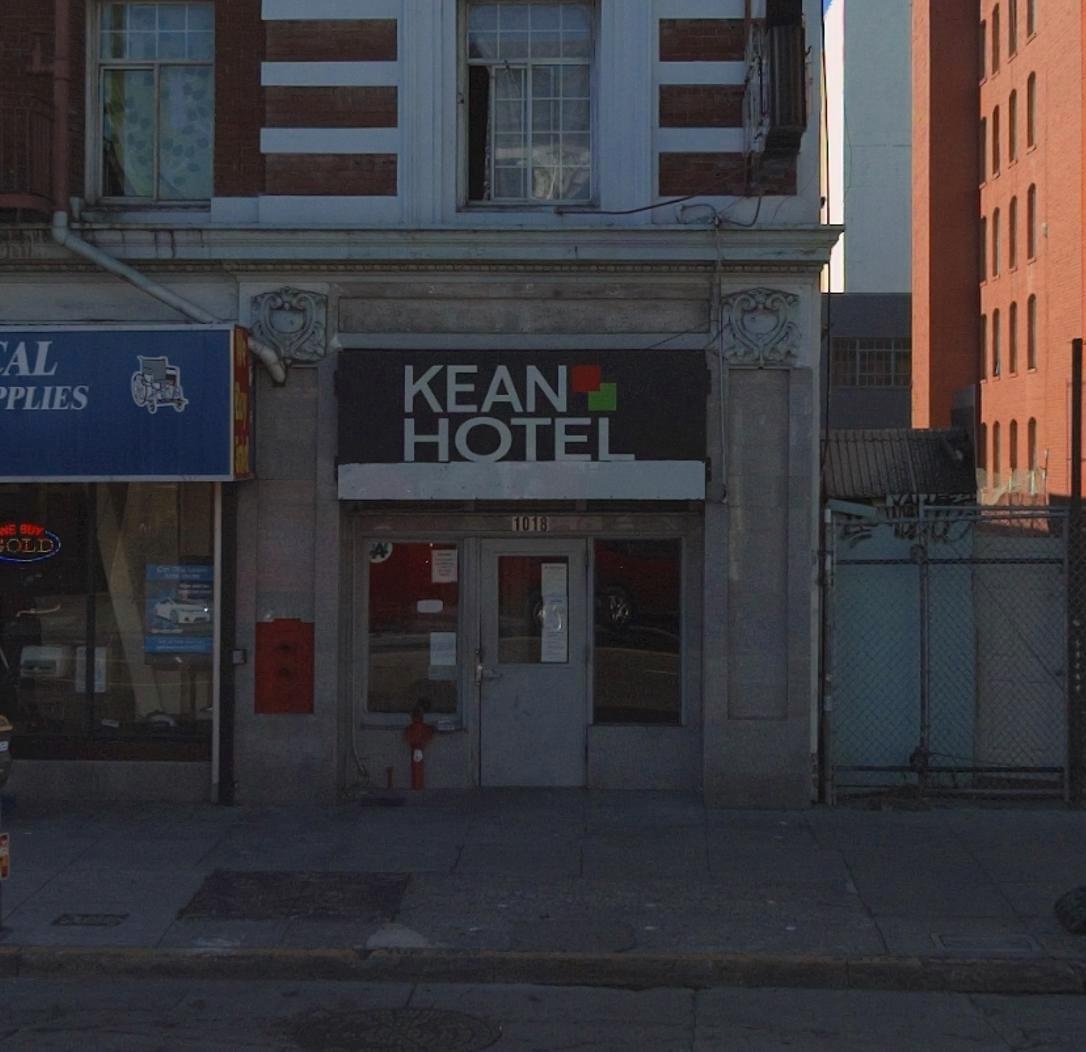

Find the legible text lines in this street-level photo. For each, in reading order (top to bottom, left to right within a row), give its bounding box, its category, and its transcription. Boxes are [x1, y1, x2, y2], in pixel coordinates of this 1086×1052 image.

[0, 339, 61, 377] BusinessName: AL
[3, 384, 91, 412] BusinessName: PLIES
[402, 363, 569, 415] BusinessName: KEAN
[401, 415, 637, 463] BusinessName: HOTEL
[7, 522, 44, 537] None: E BUY
[513, 515, 549, 532] StreetNumber: 1018
[4, 536, 55, 555] None: OLD